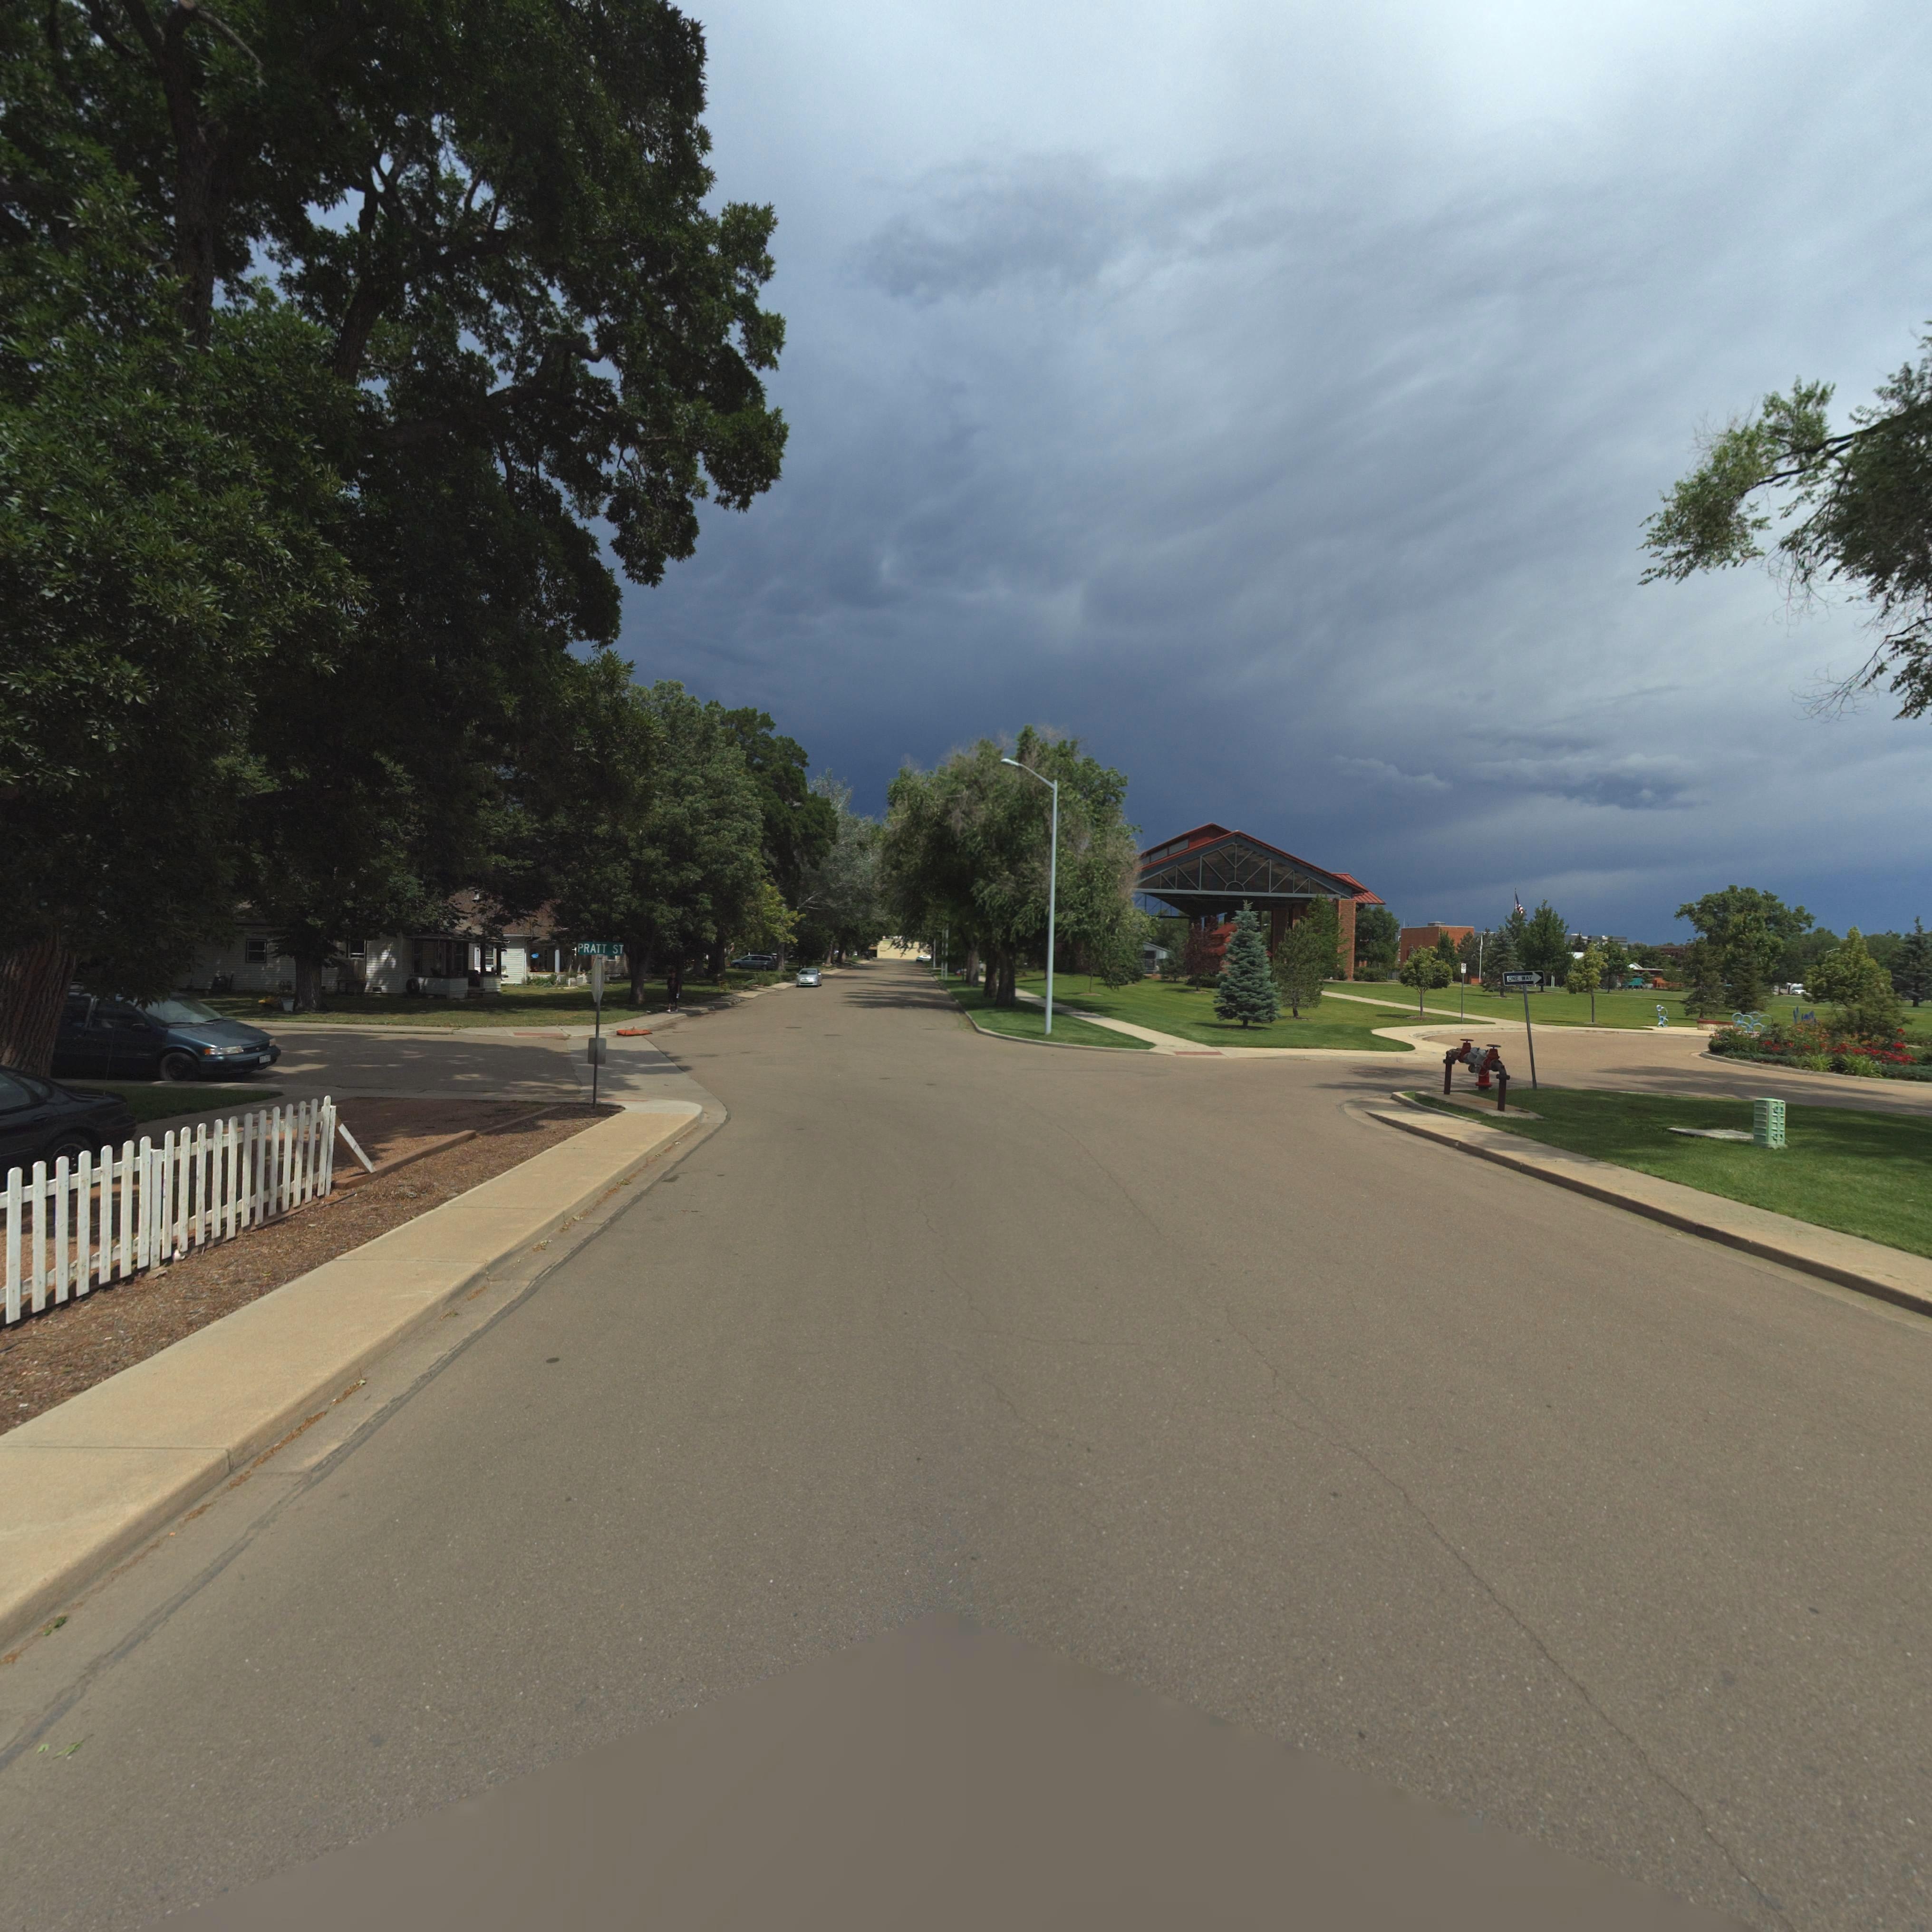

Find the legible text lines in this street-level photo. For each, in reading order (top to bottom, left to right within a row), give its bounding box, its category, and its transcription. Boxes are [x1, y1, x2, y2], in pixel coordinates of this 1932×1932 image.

[577, 943, 624, 954] StreetName: PRATT ST